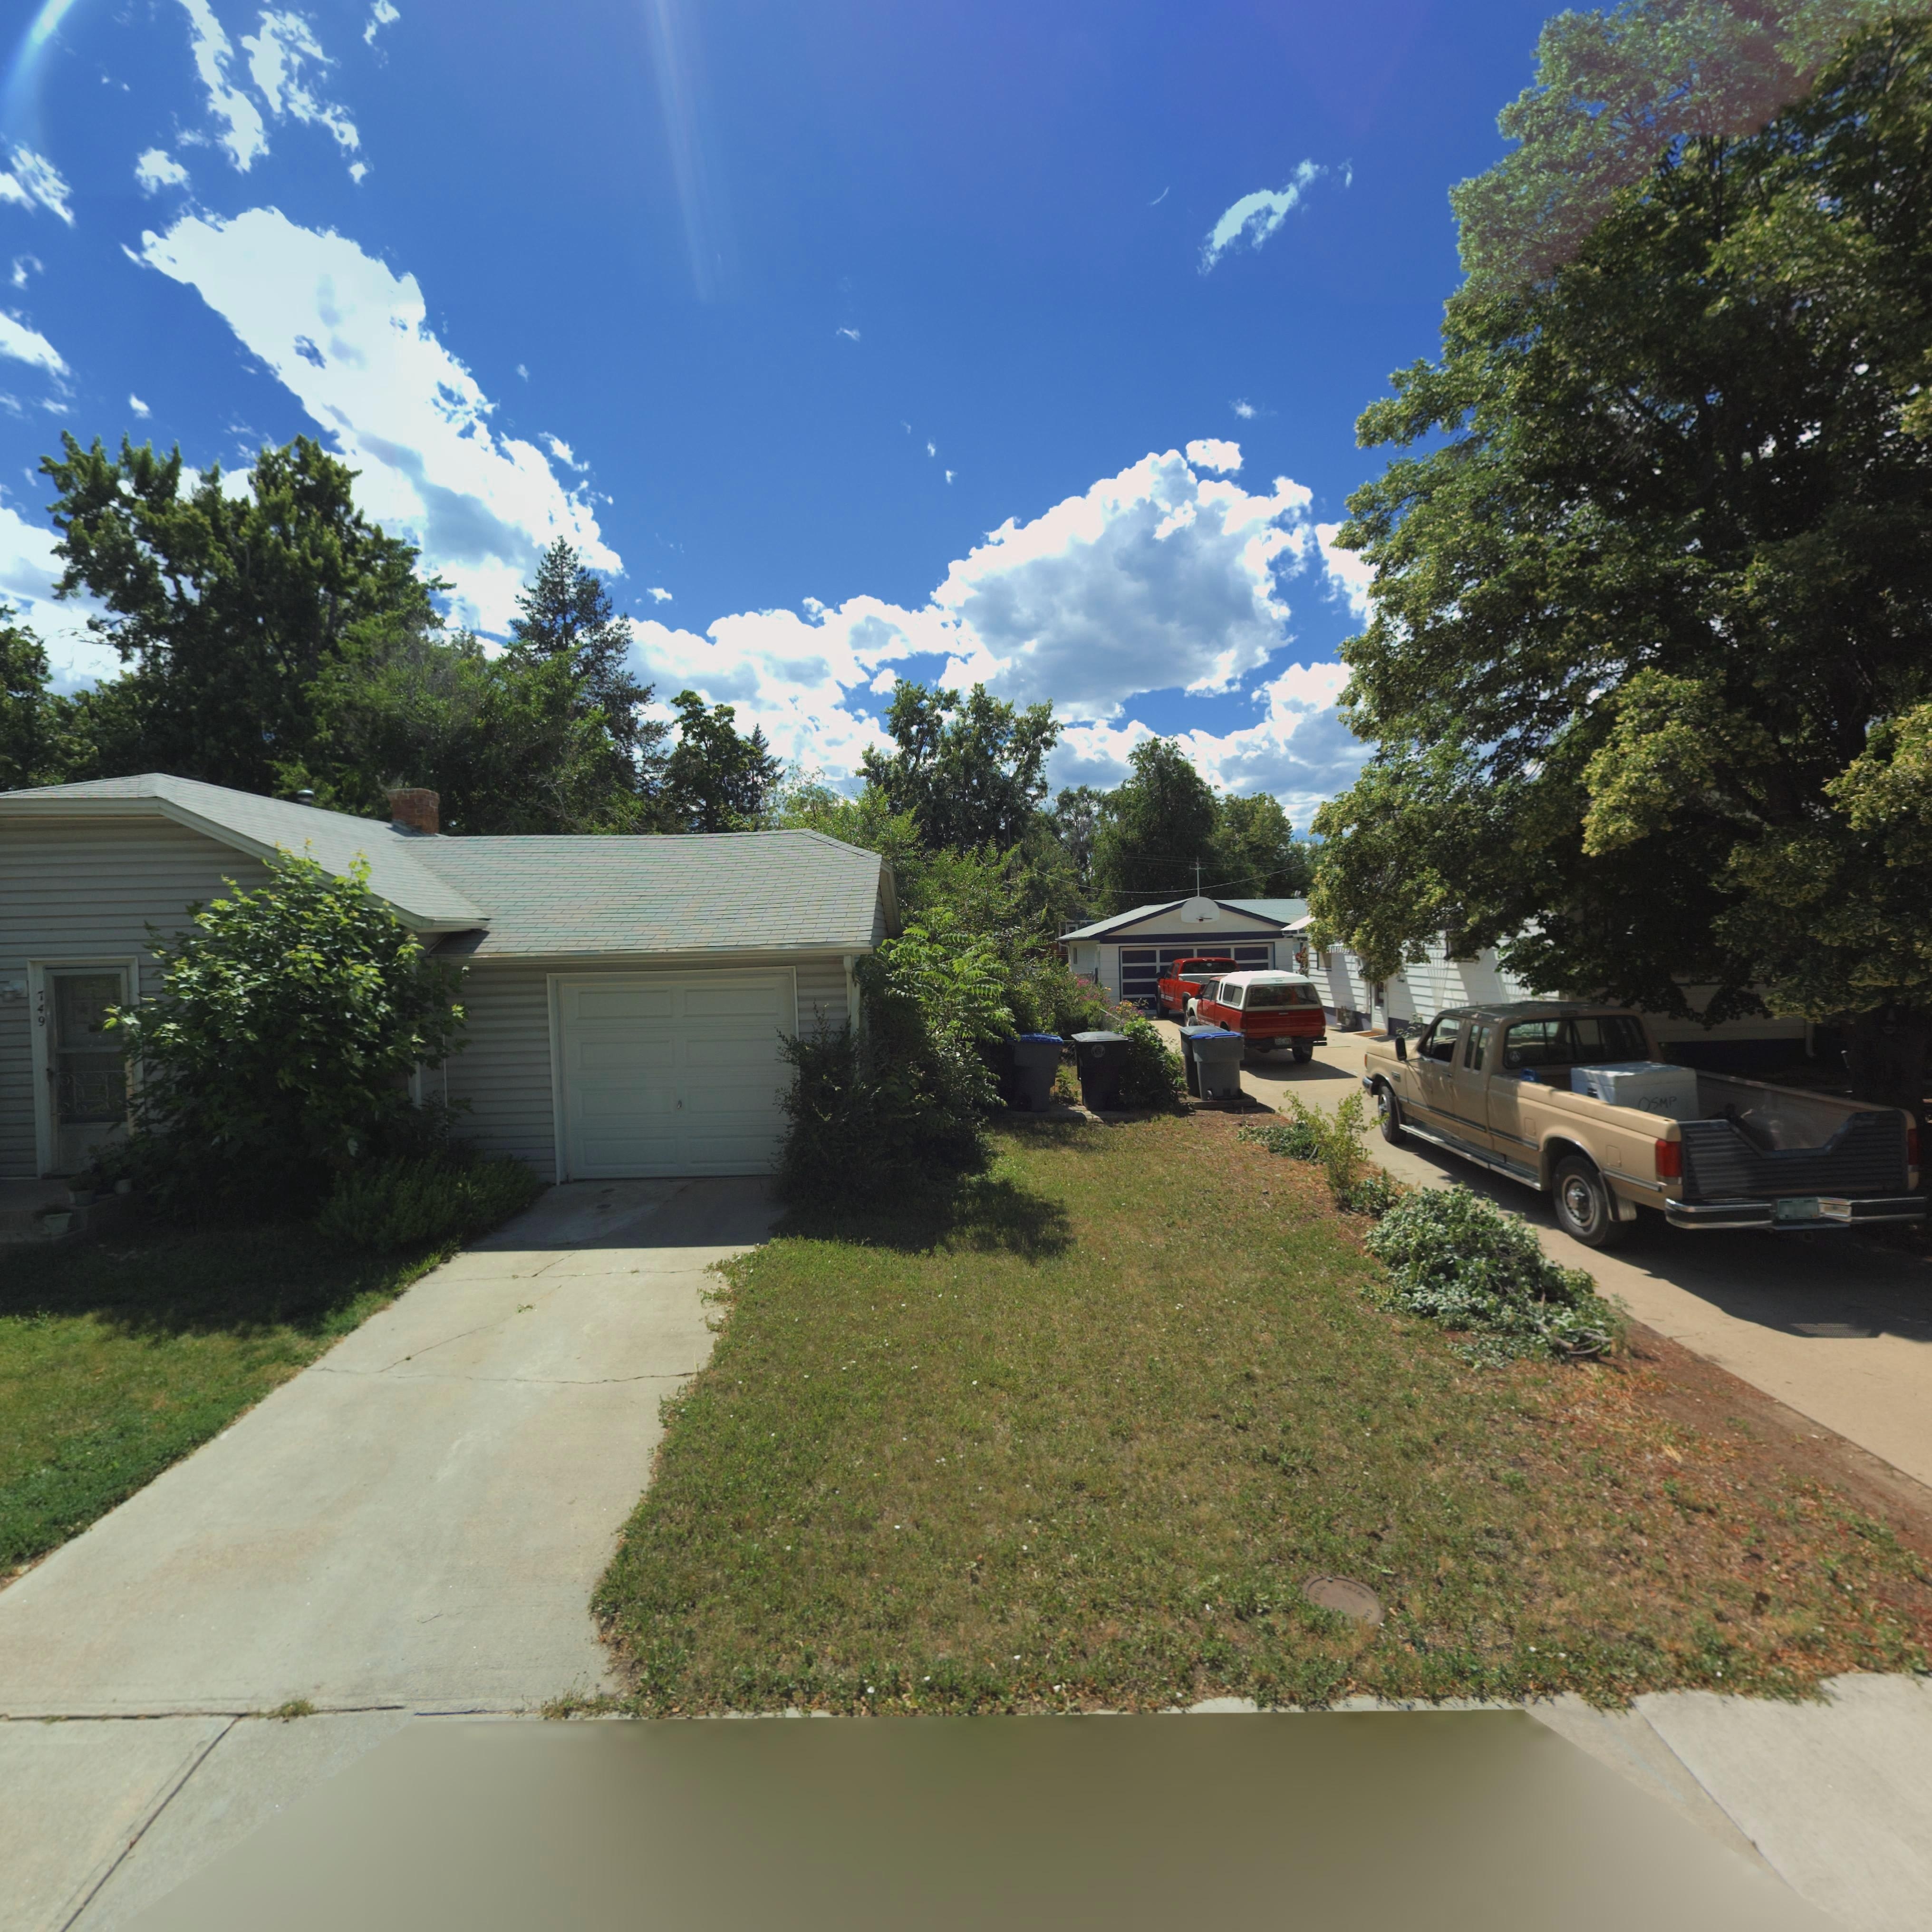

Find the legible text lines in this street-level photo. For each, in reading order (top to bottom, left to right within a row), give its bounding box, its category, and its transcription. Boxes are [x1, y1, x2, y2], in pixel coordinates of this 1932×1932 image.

[36, 989, 47, 1027] StreetNumber: 749